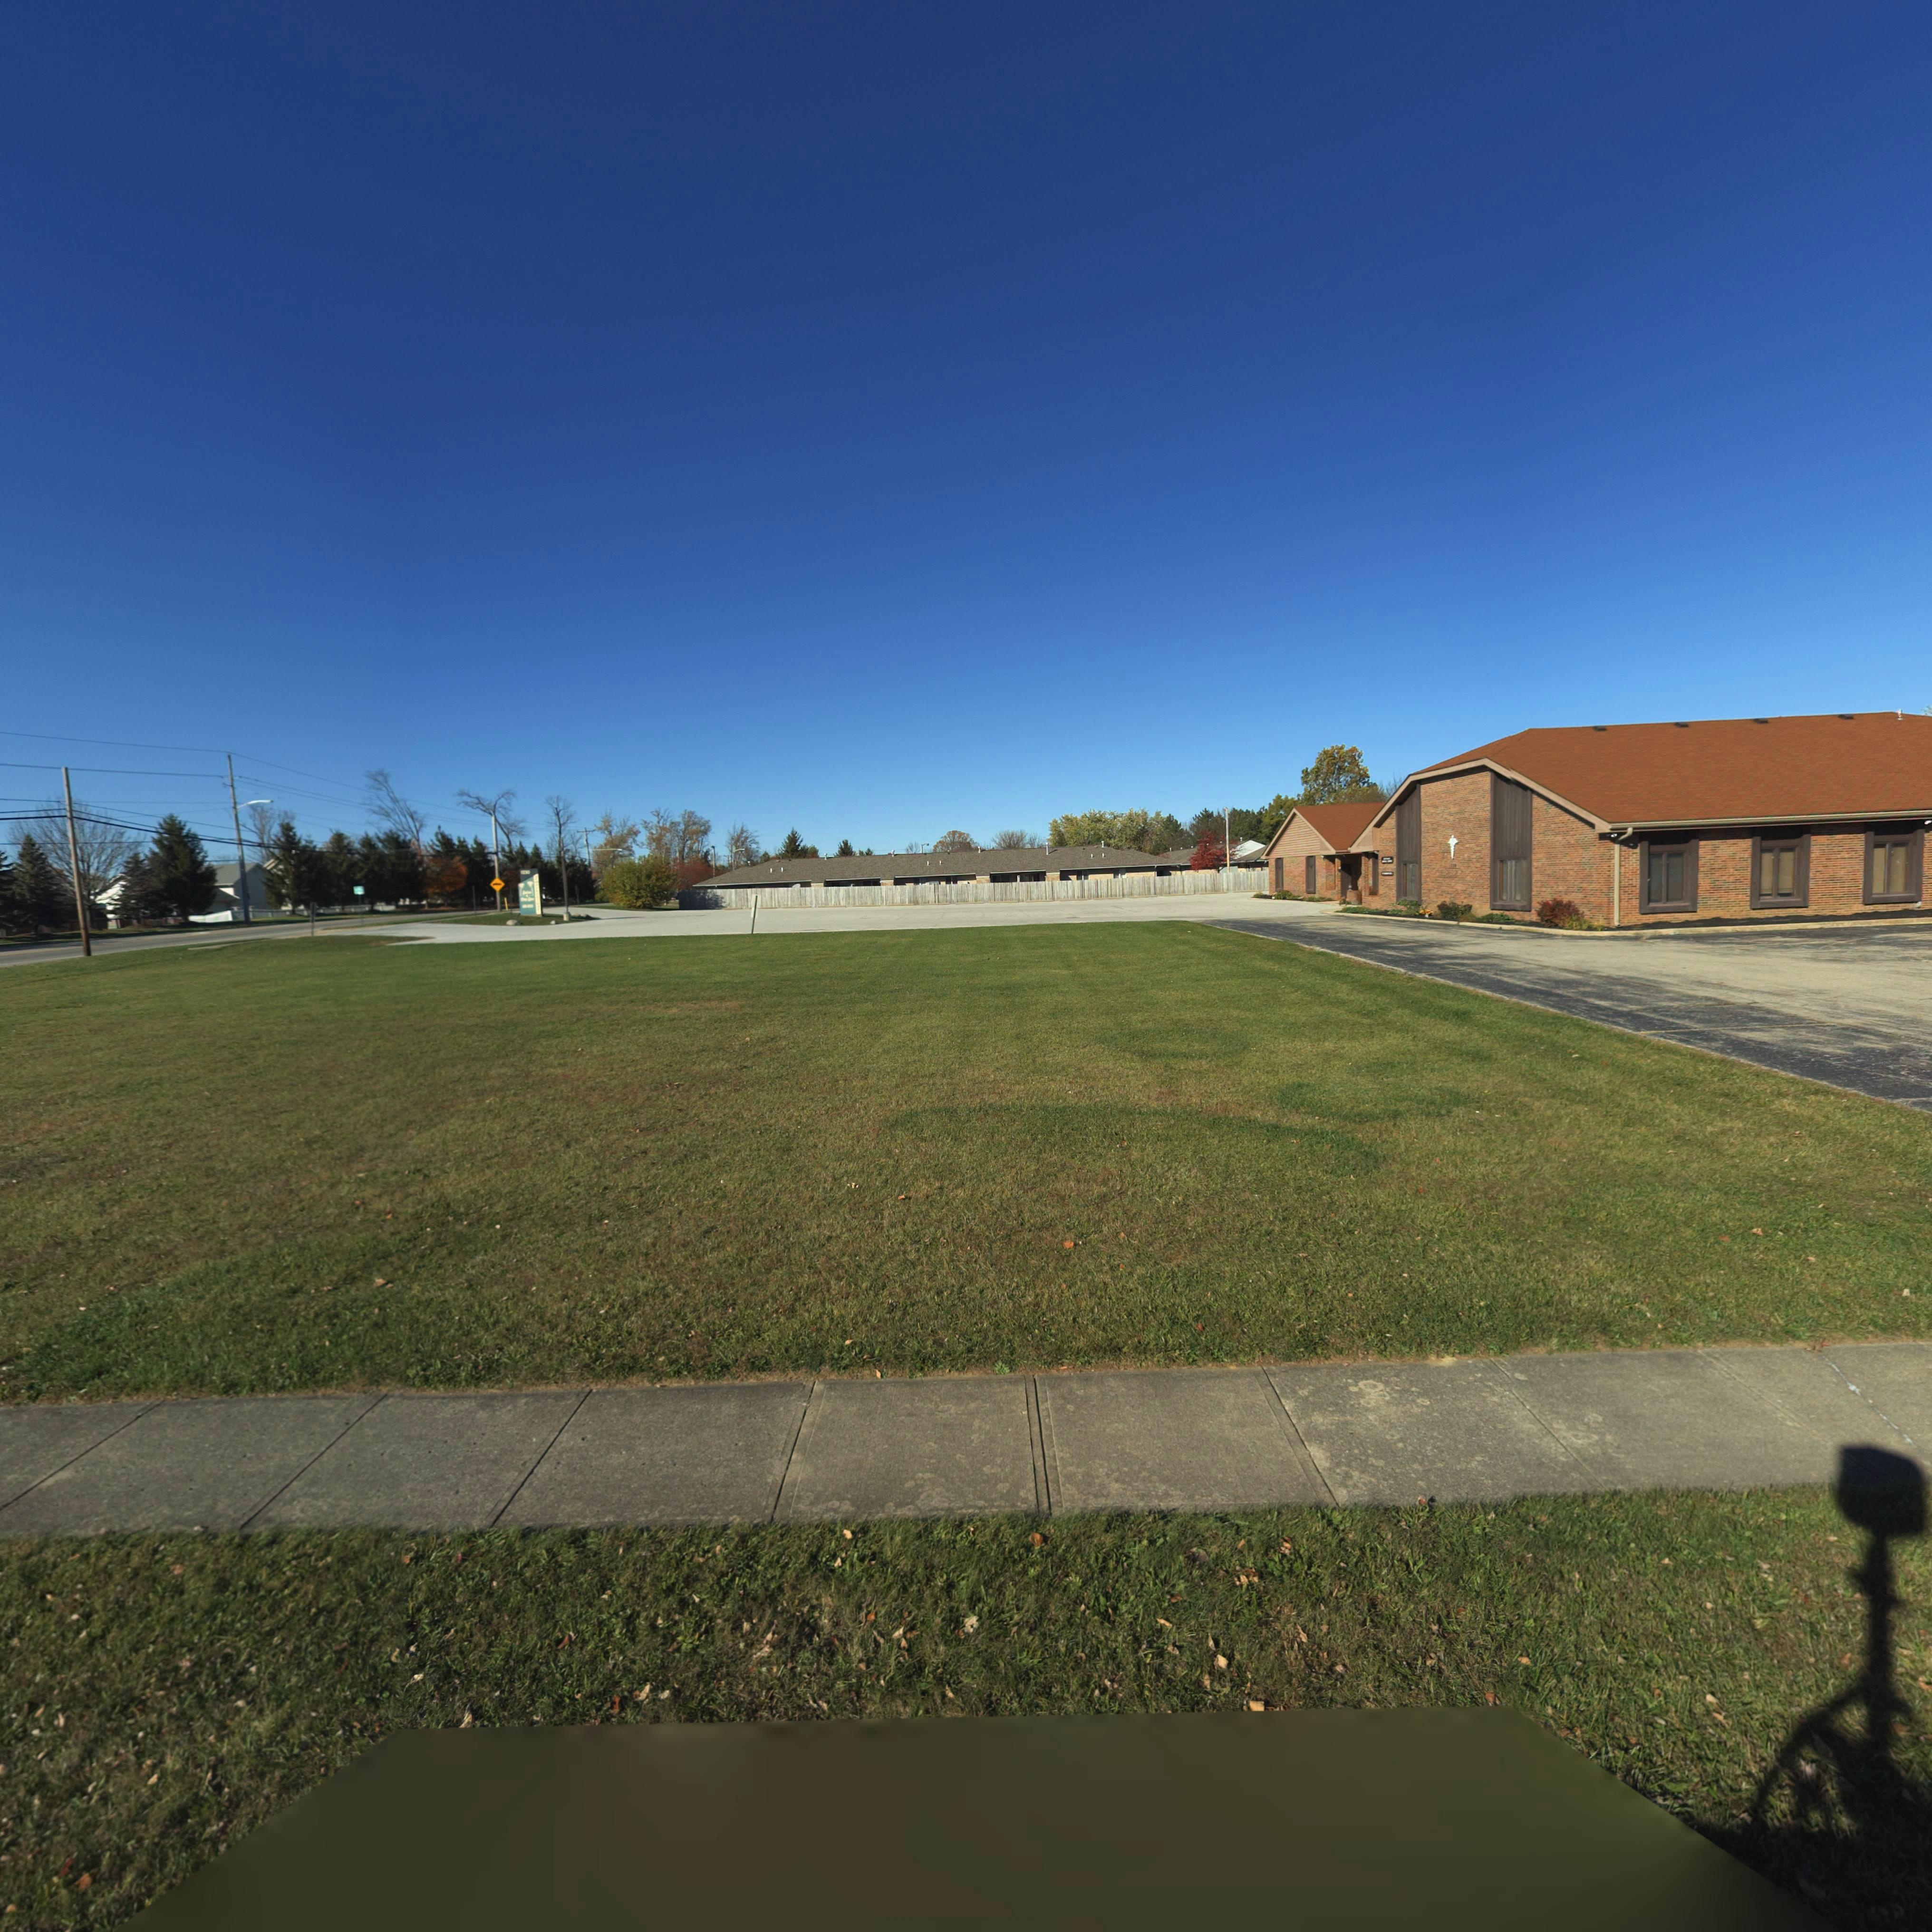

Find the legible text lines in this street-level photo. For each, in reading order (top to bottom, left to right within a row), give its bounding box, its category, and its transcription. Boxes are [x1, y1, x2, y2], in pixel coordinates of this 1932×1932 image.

[520, 869, 531, 875] StreetNumber: 1**0